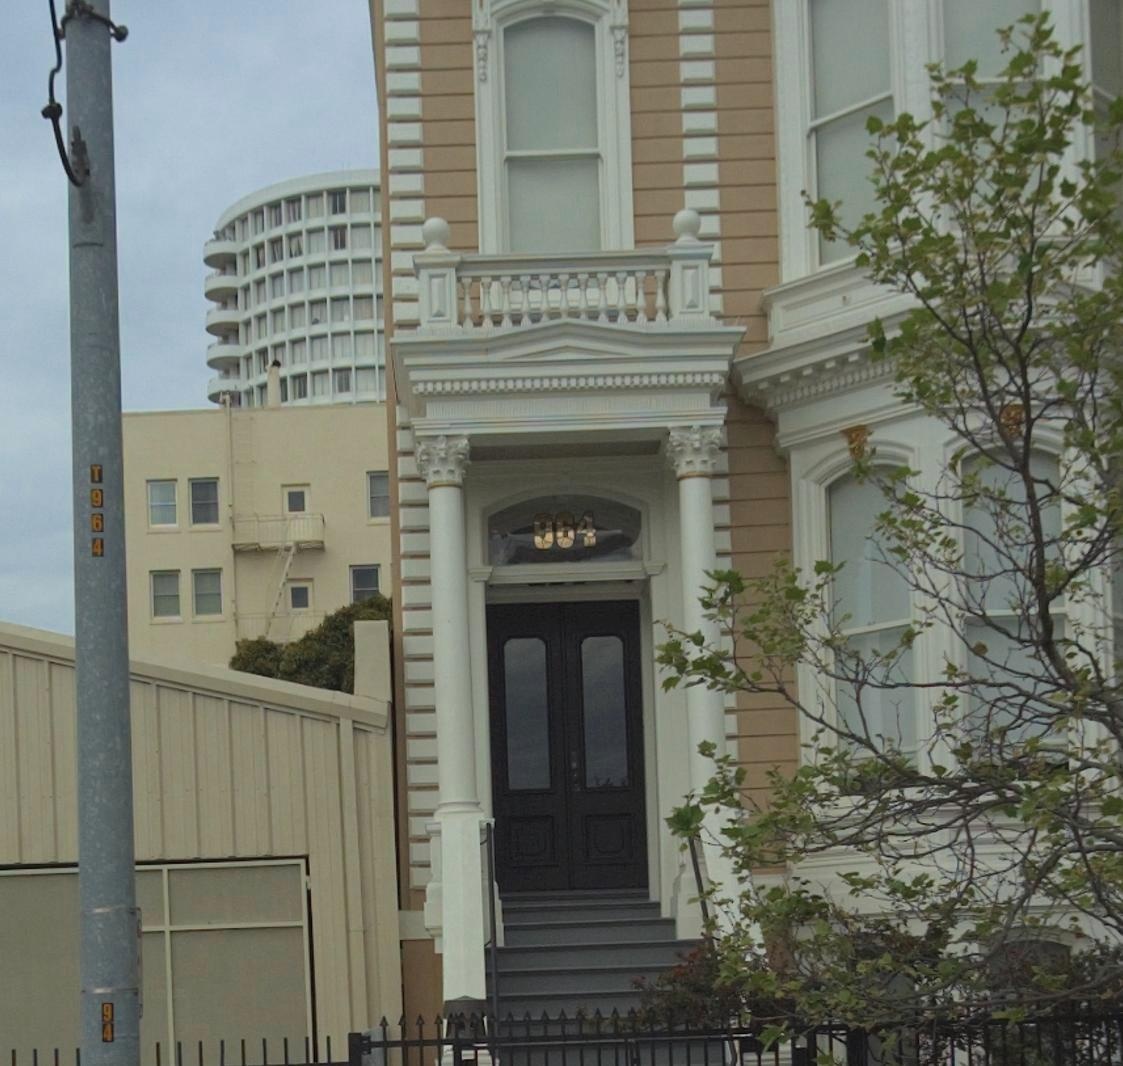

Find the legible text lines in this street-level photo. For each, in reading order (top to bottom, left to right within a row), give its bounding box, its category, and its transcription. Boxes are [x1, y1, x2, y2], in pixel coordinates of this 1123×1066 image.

[90, 464, 104, 557] None: T964
[532, 509, 599, 551] StreetNumber: 964
[102, 1002, 114, 1042] None: 94